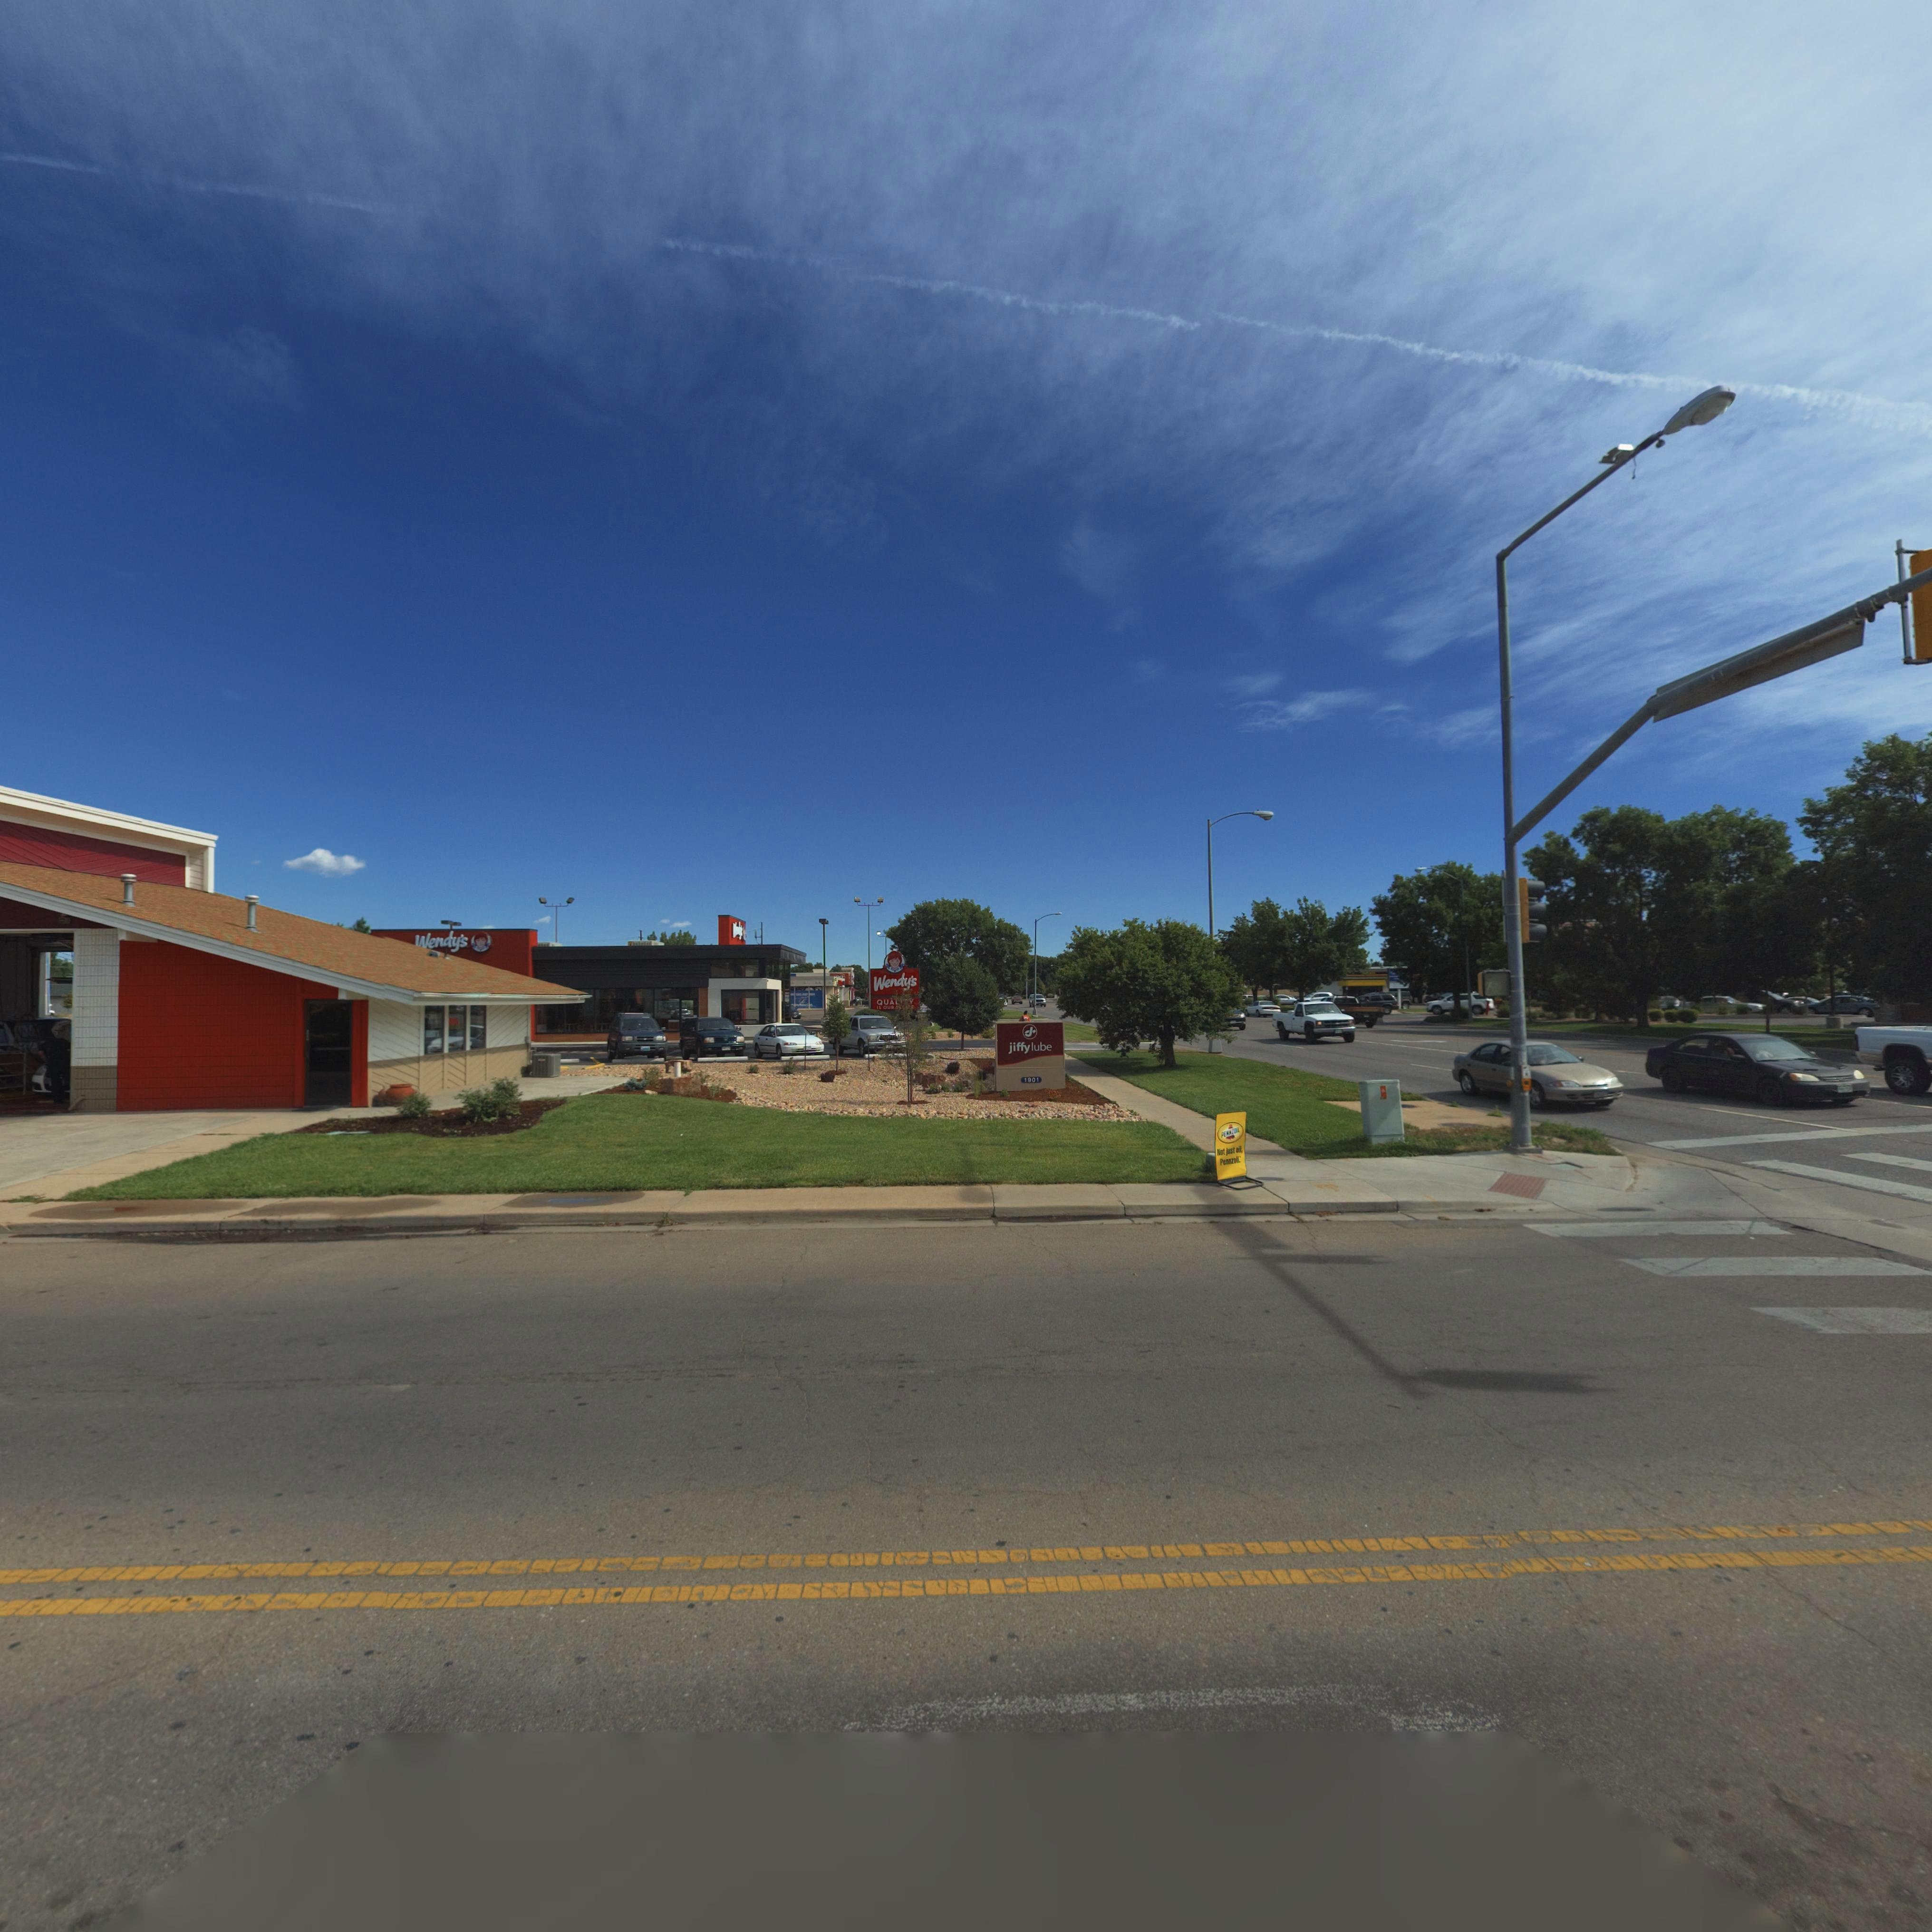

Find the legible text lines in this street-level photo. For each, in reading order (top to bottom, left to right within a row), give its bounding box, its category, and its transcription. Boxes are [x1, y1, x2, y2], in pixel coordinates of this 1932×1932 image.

[415, 930, 468, 953] BusinessName: Wendy's
[873, 972, 917, 991] BusinessName: Wendy's
[1008, 1041, 1052, 1054] BusinessName: jiffy lube
[1024, 1077, 1038, 1082] StreetNumber: 1901